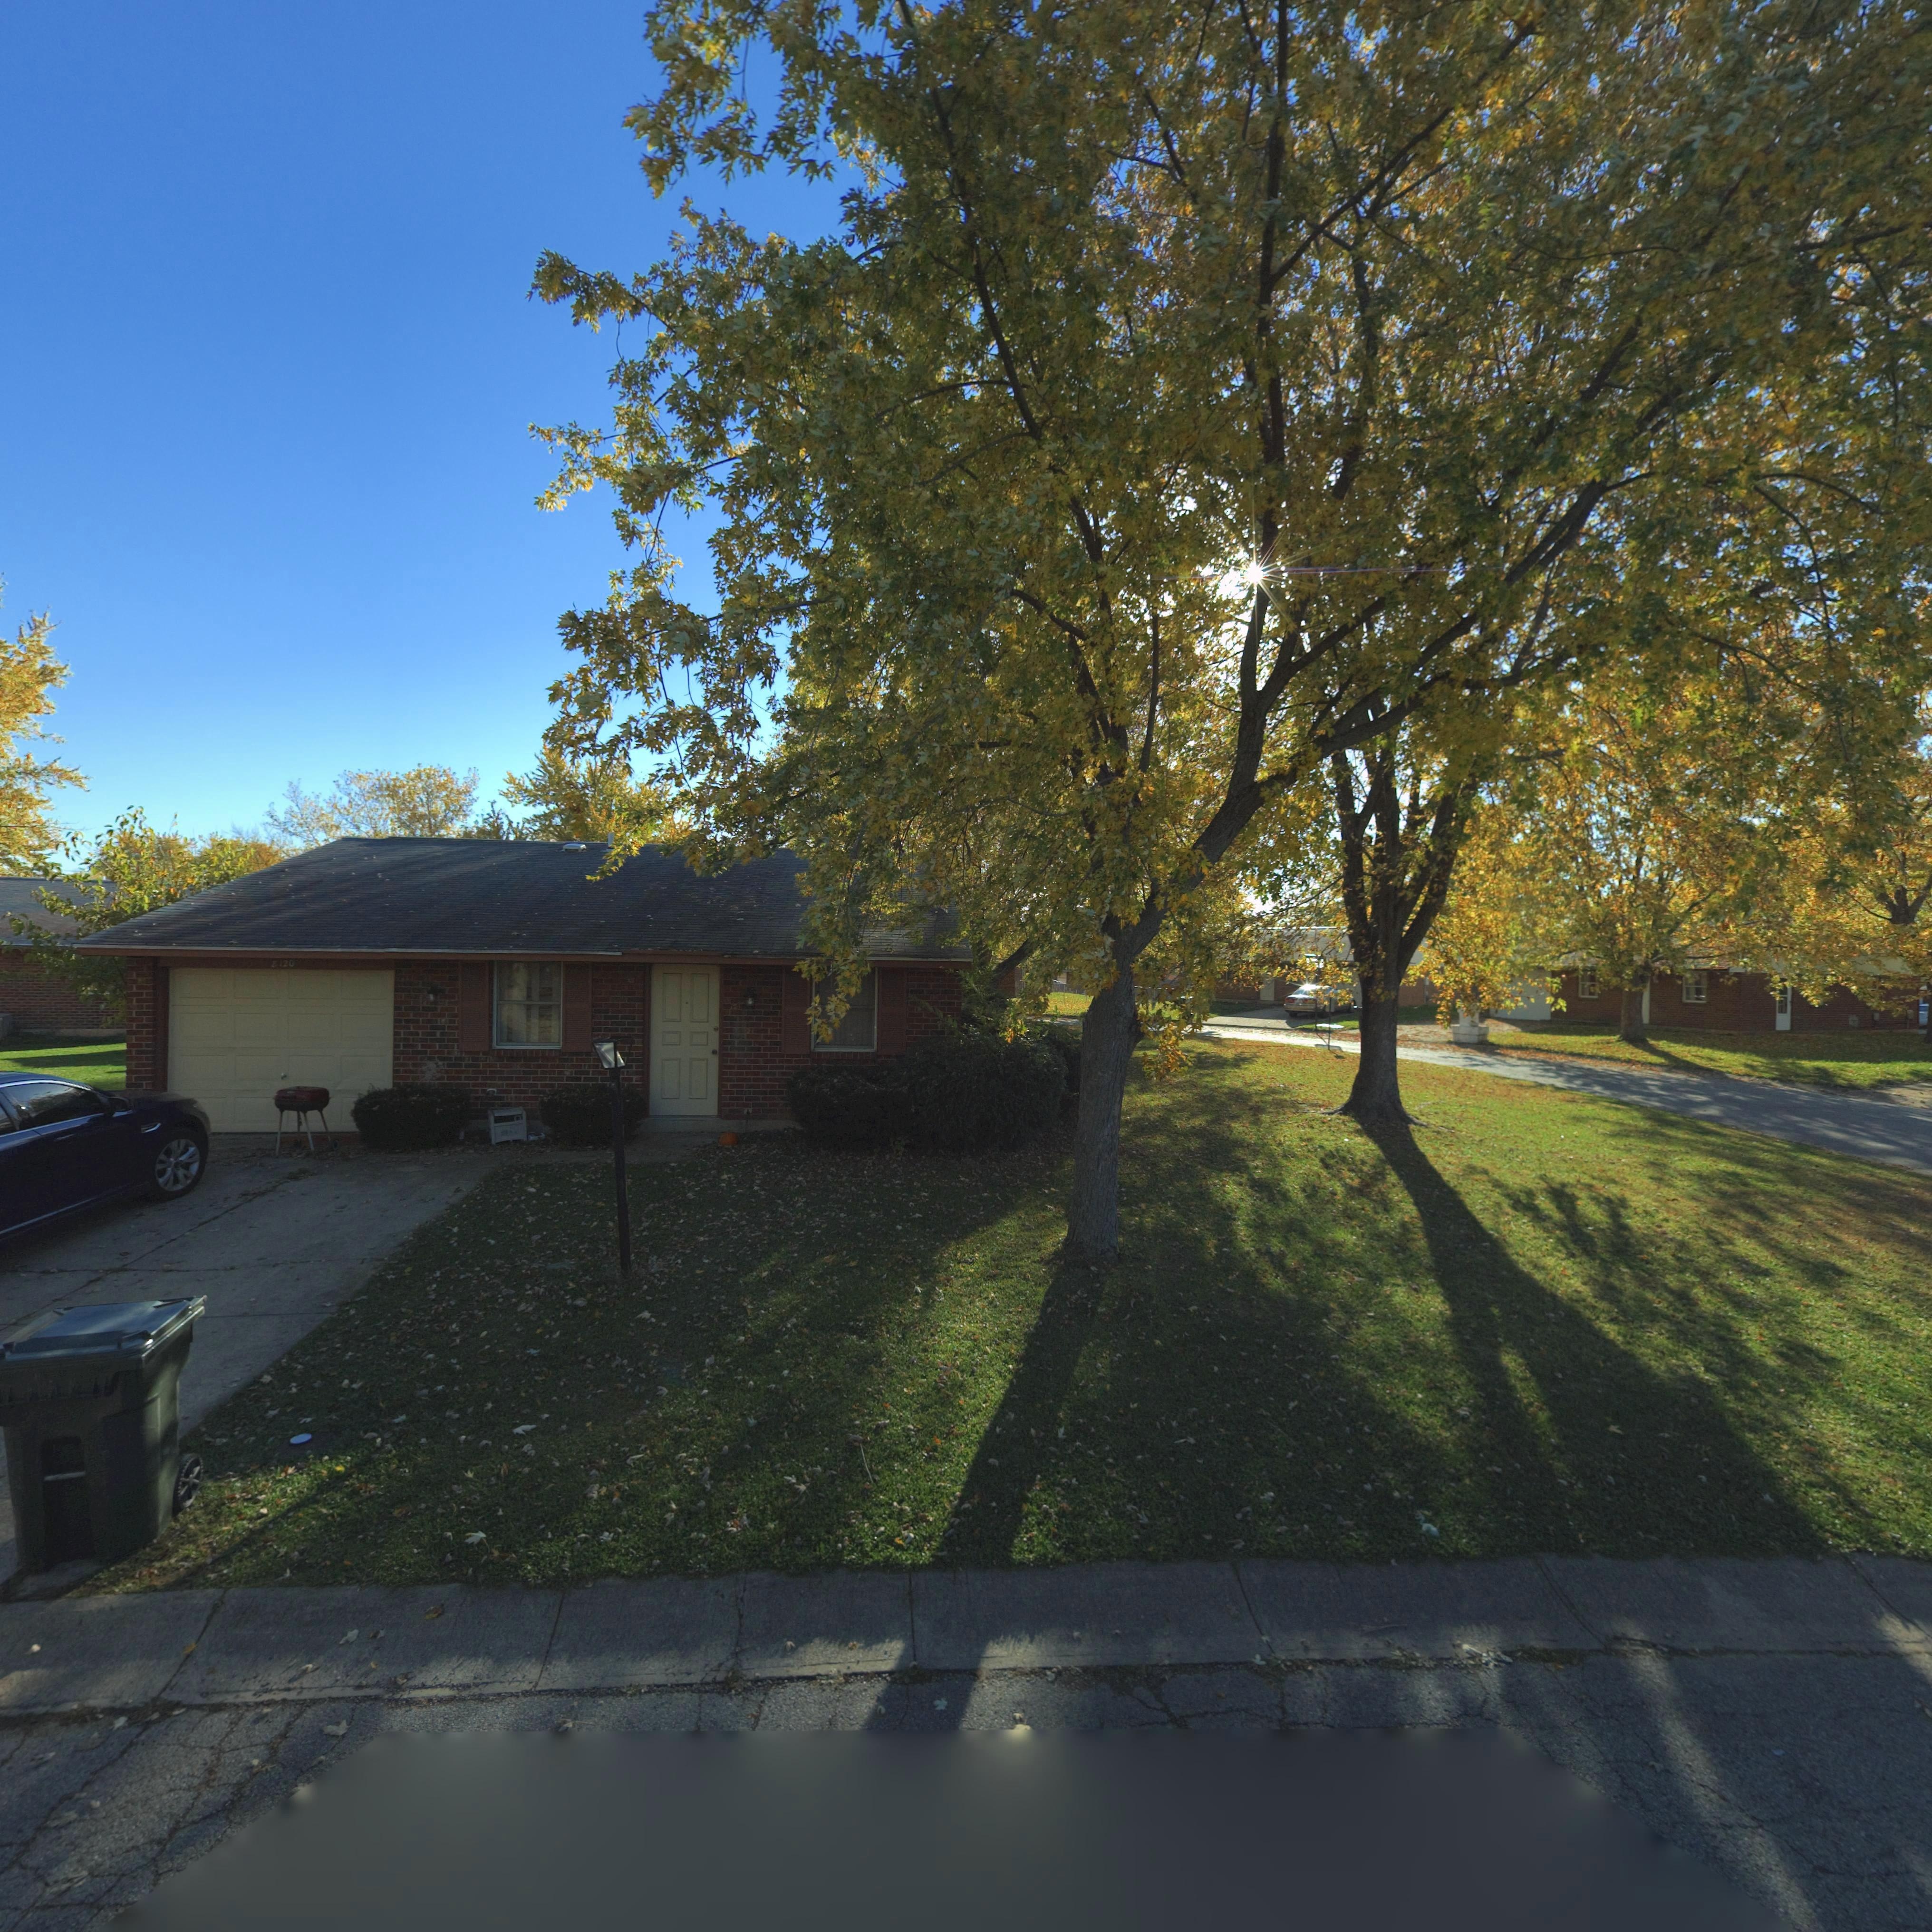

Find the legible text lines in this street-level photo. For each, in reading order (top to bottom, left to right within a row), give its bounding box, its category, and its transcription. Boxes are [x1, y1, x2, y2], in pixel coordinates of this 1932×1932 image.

[270, 958, 296, 970] StreetNumber: 8120